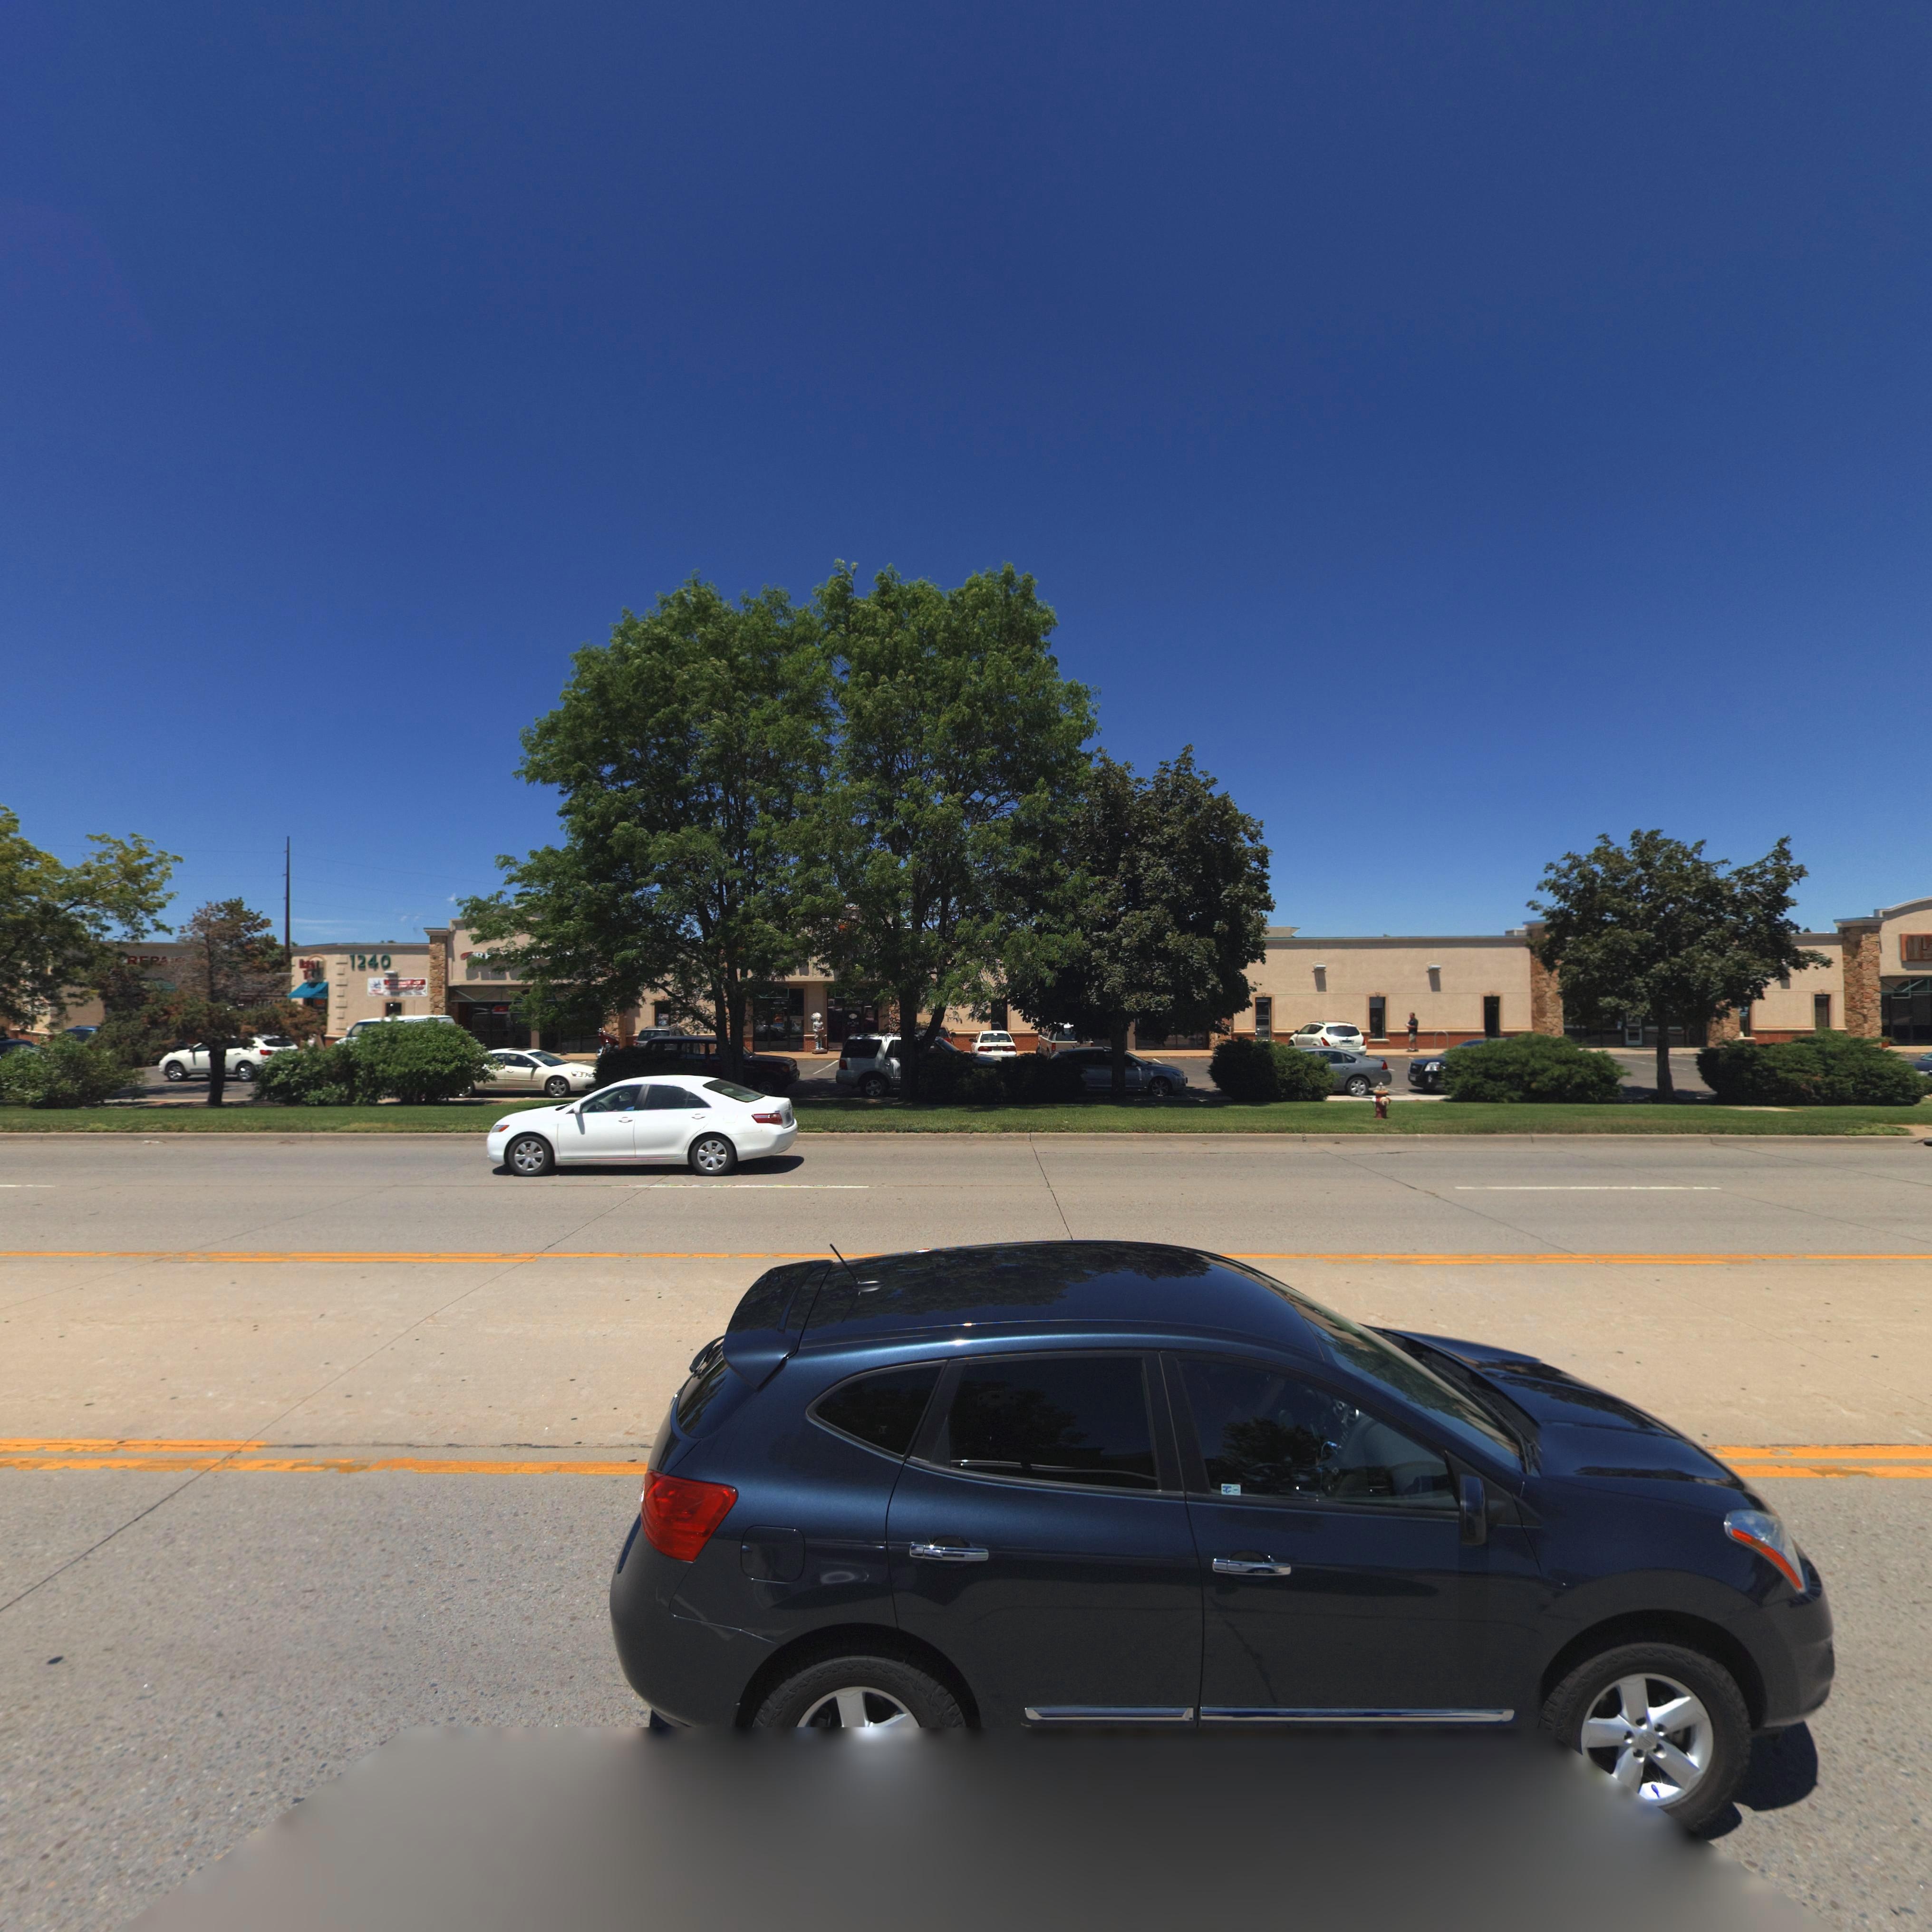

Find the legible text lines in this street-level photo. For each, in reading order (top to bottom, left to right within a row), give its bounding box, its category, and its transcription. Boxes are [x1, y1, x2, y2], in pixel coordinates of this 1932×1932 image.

[298, 958, 316, 969] BusinessName: L****
[348, 952, 392, 969] StreetNumber: 1240
[301, 969, 314, 980] BusinessName: T**